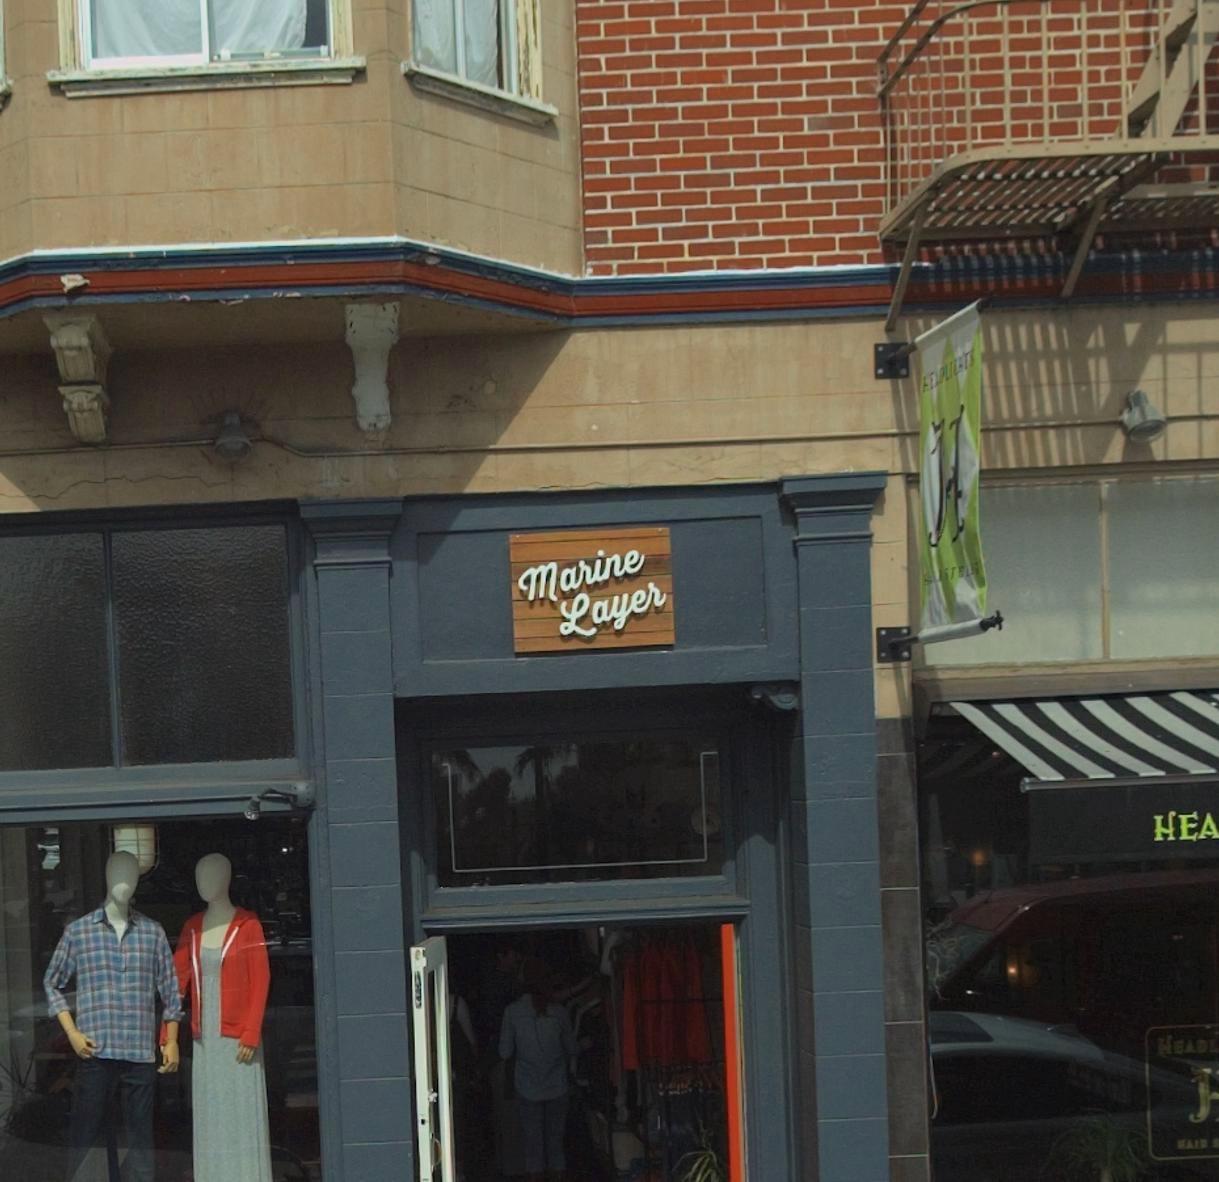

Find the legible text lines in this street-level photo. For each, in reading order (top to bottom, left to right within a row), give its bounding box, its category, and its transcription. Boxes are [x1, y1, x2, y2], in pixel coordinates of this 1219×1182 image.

[515, 547, 649, 605] BusinessName: Marine
[553, 578, 670, 644] BusinessName: Layer
[1150, 808, 1219, 844] BusinessName: HEA
[1153, 1029, 1210, 1060] BusinessName: HEAD
[1173, 1135, 1212, 1153] BusinessName: HAIR